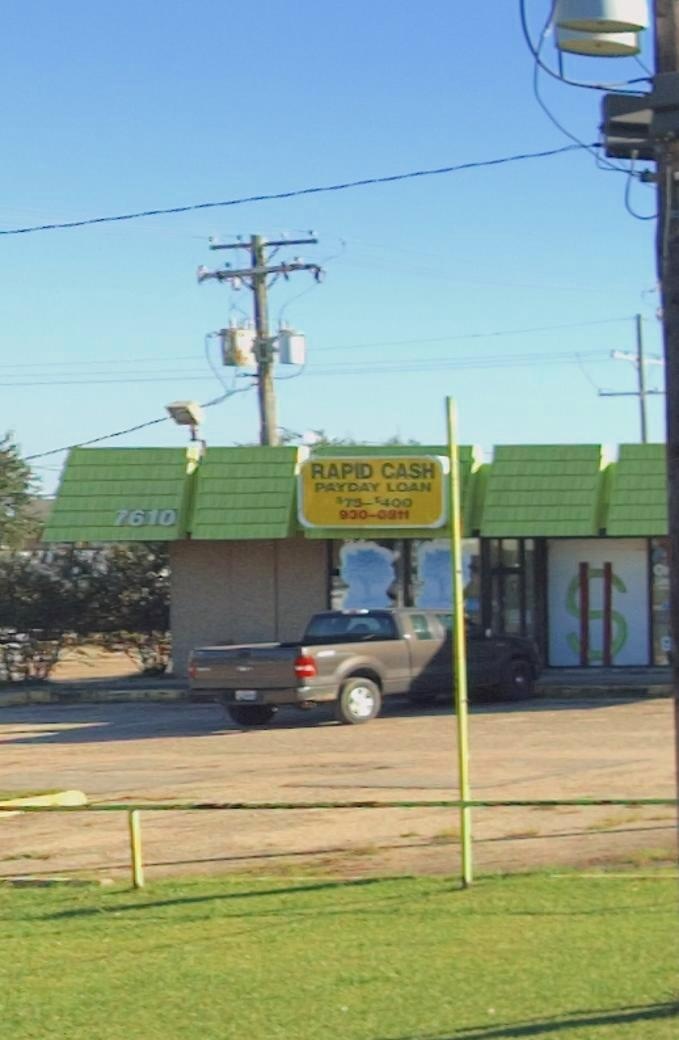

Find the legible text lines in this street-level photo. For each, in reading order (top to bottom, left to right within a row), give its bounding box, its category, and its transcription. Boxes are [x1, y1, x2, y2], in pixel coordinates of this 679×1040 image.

[309, 461, 438, 480] BusinessName: RAPID CASH
[313, 480, 432, 494] BusinessName: PAYDAY LOAN
[343, 496, 363, 507] None: 75
[379, 496, 412, 507] None: 400
[113, 507, 177, 528] StreetNumber: 7610
[338, 508, 410, 522] None: 930-0911